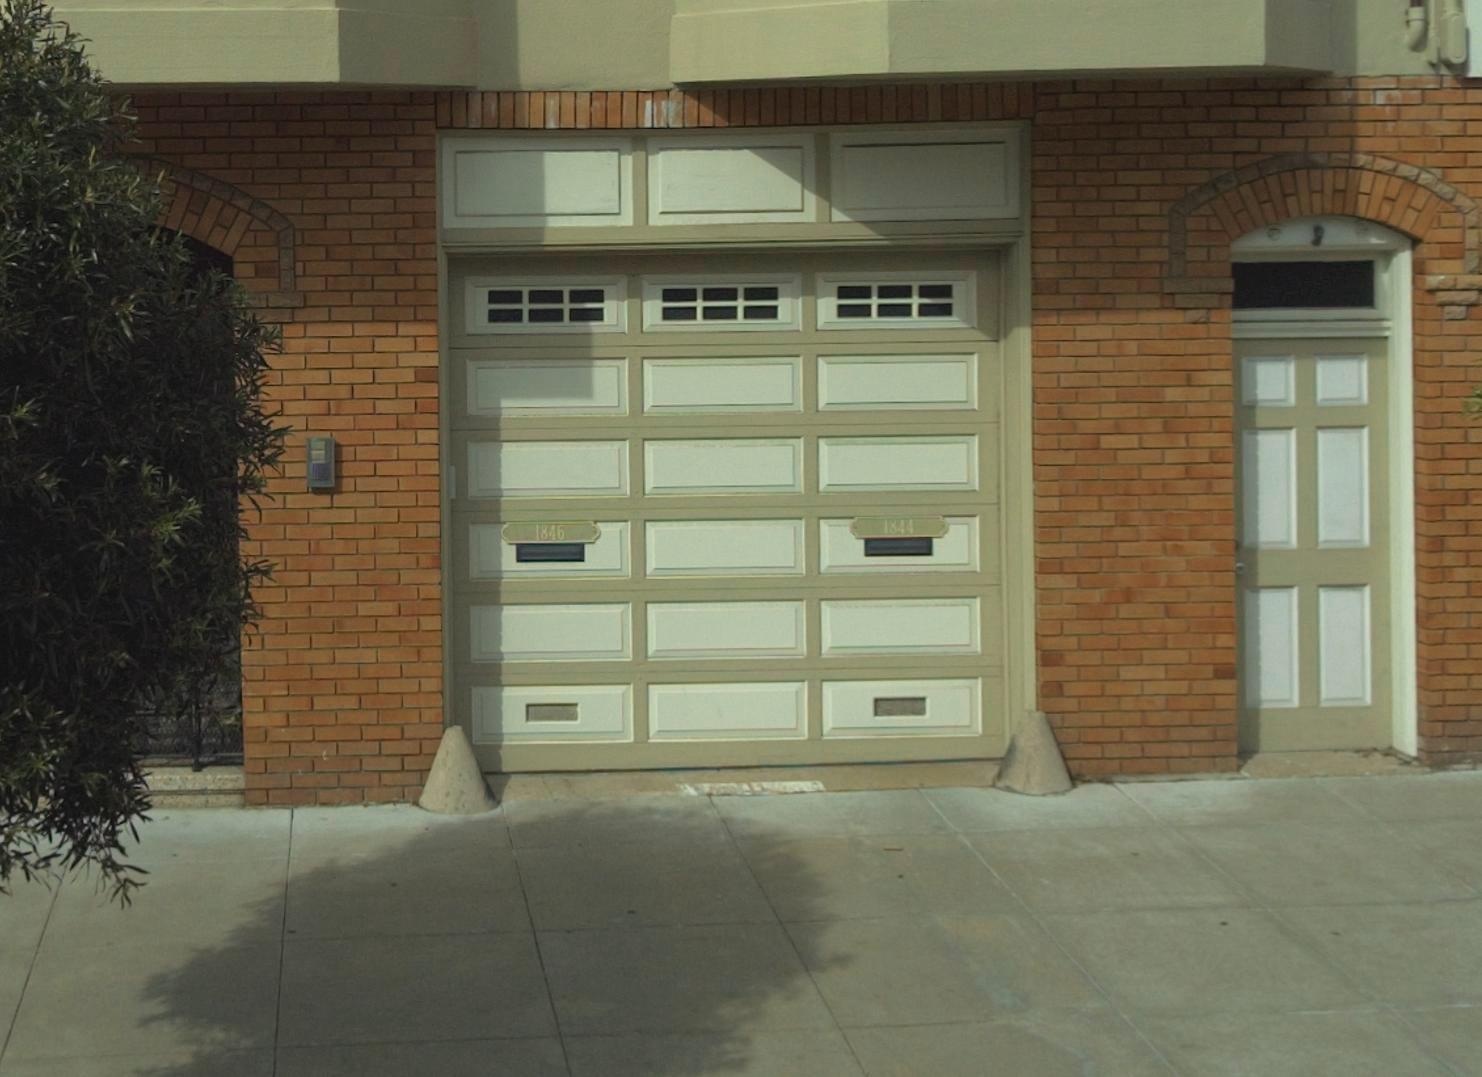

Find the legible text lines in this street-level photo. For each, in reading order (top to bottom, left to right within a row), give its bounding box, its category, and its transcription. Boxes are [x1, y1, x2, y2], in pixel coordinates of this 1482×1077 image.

[534, 522, 567, 542] StreetNumber: 1846
[882, 516, 916, 537] StreetNumber: 1844